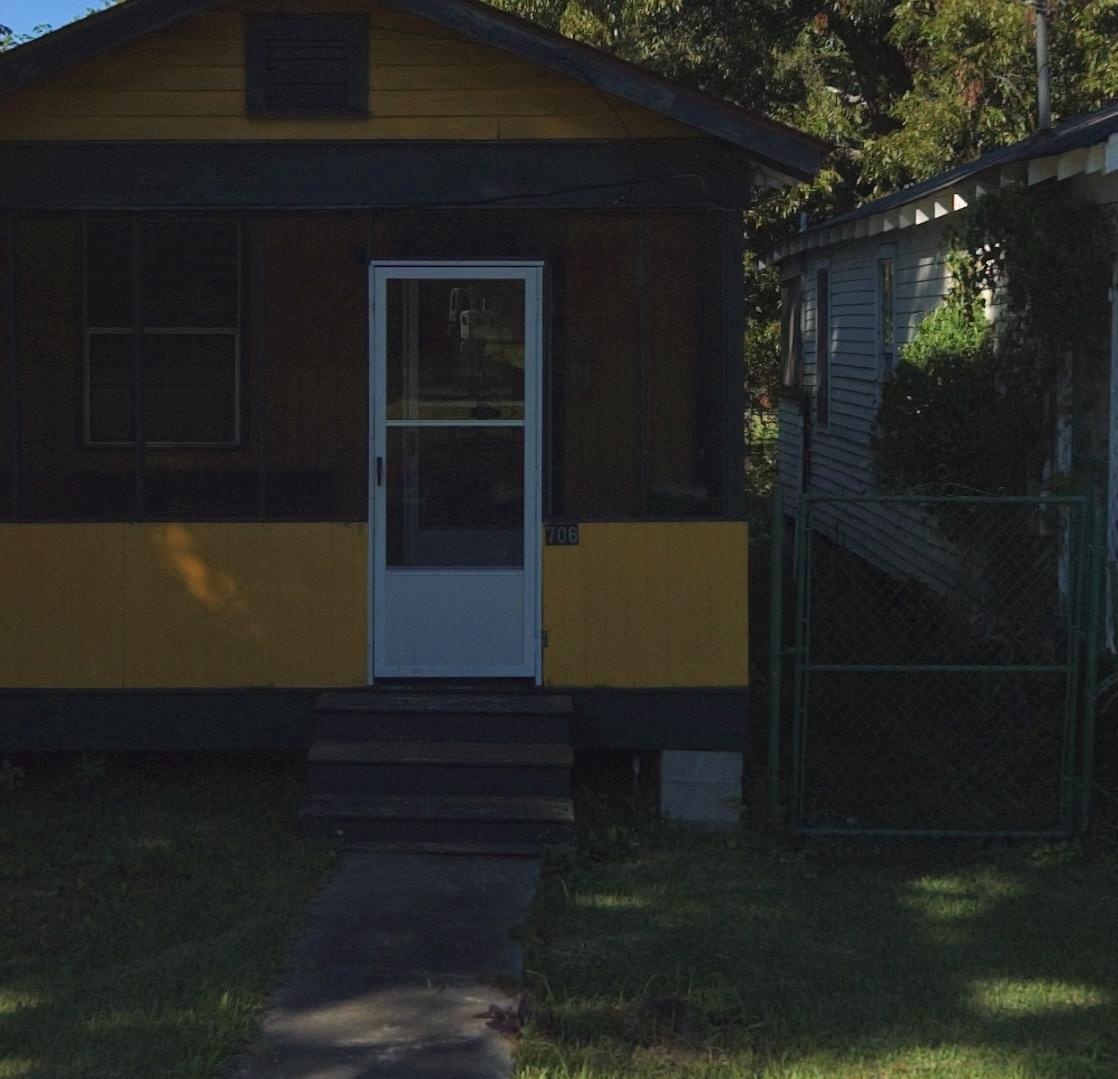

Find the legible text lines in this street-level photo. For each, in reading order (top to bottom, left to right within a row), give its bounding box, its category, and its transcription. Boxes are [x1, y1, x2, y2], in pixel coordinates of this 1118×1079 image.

[544, 524, 579, 546] StreetNumber: 706